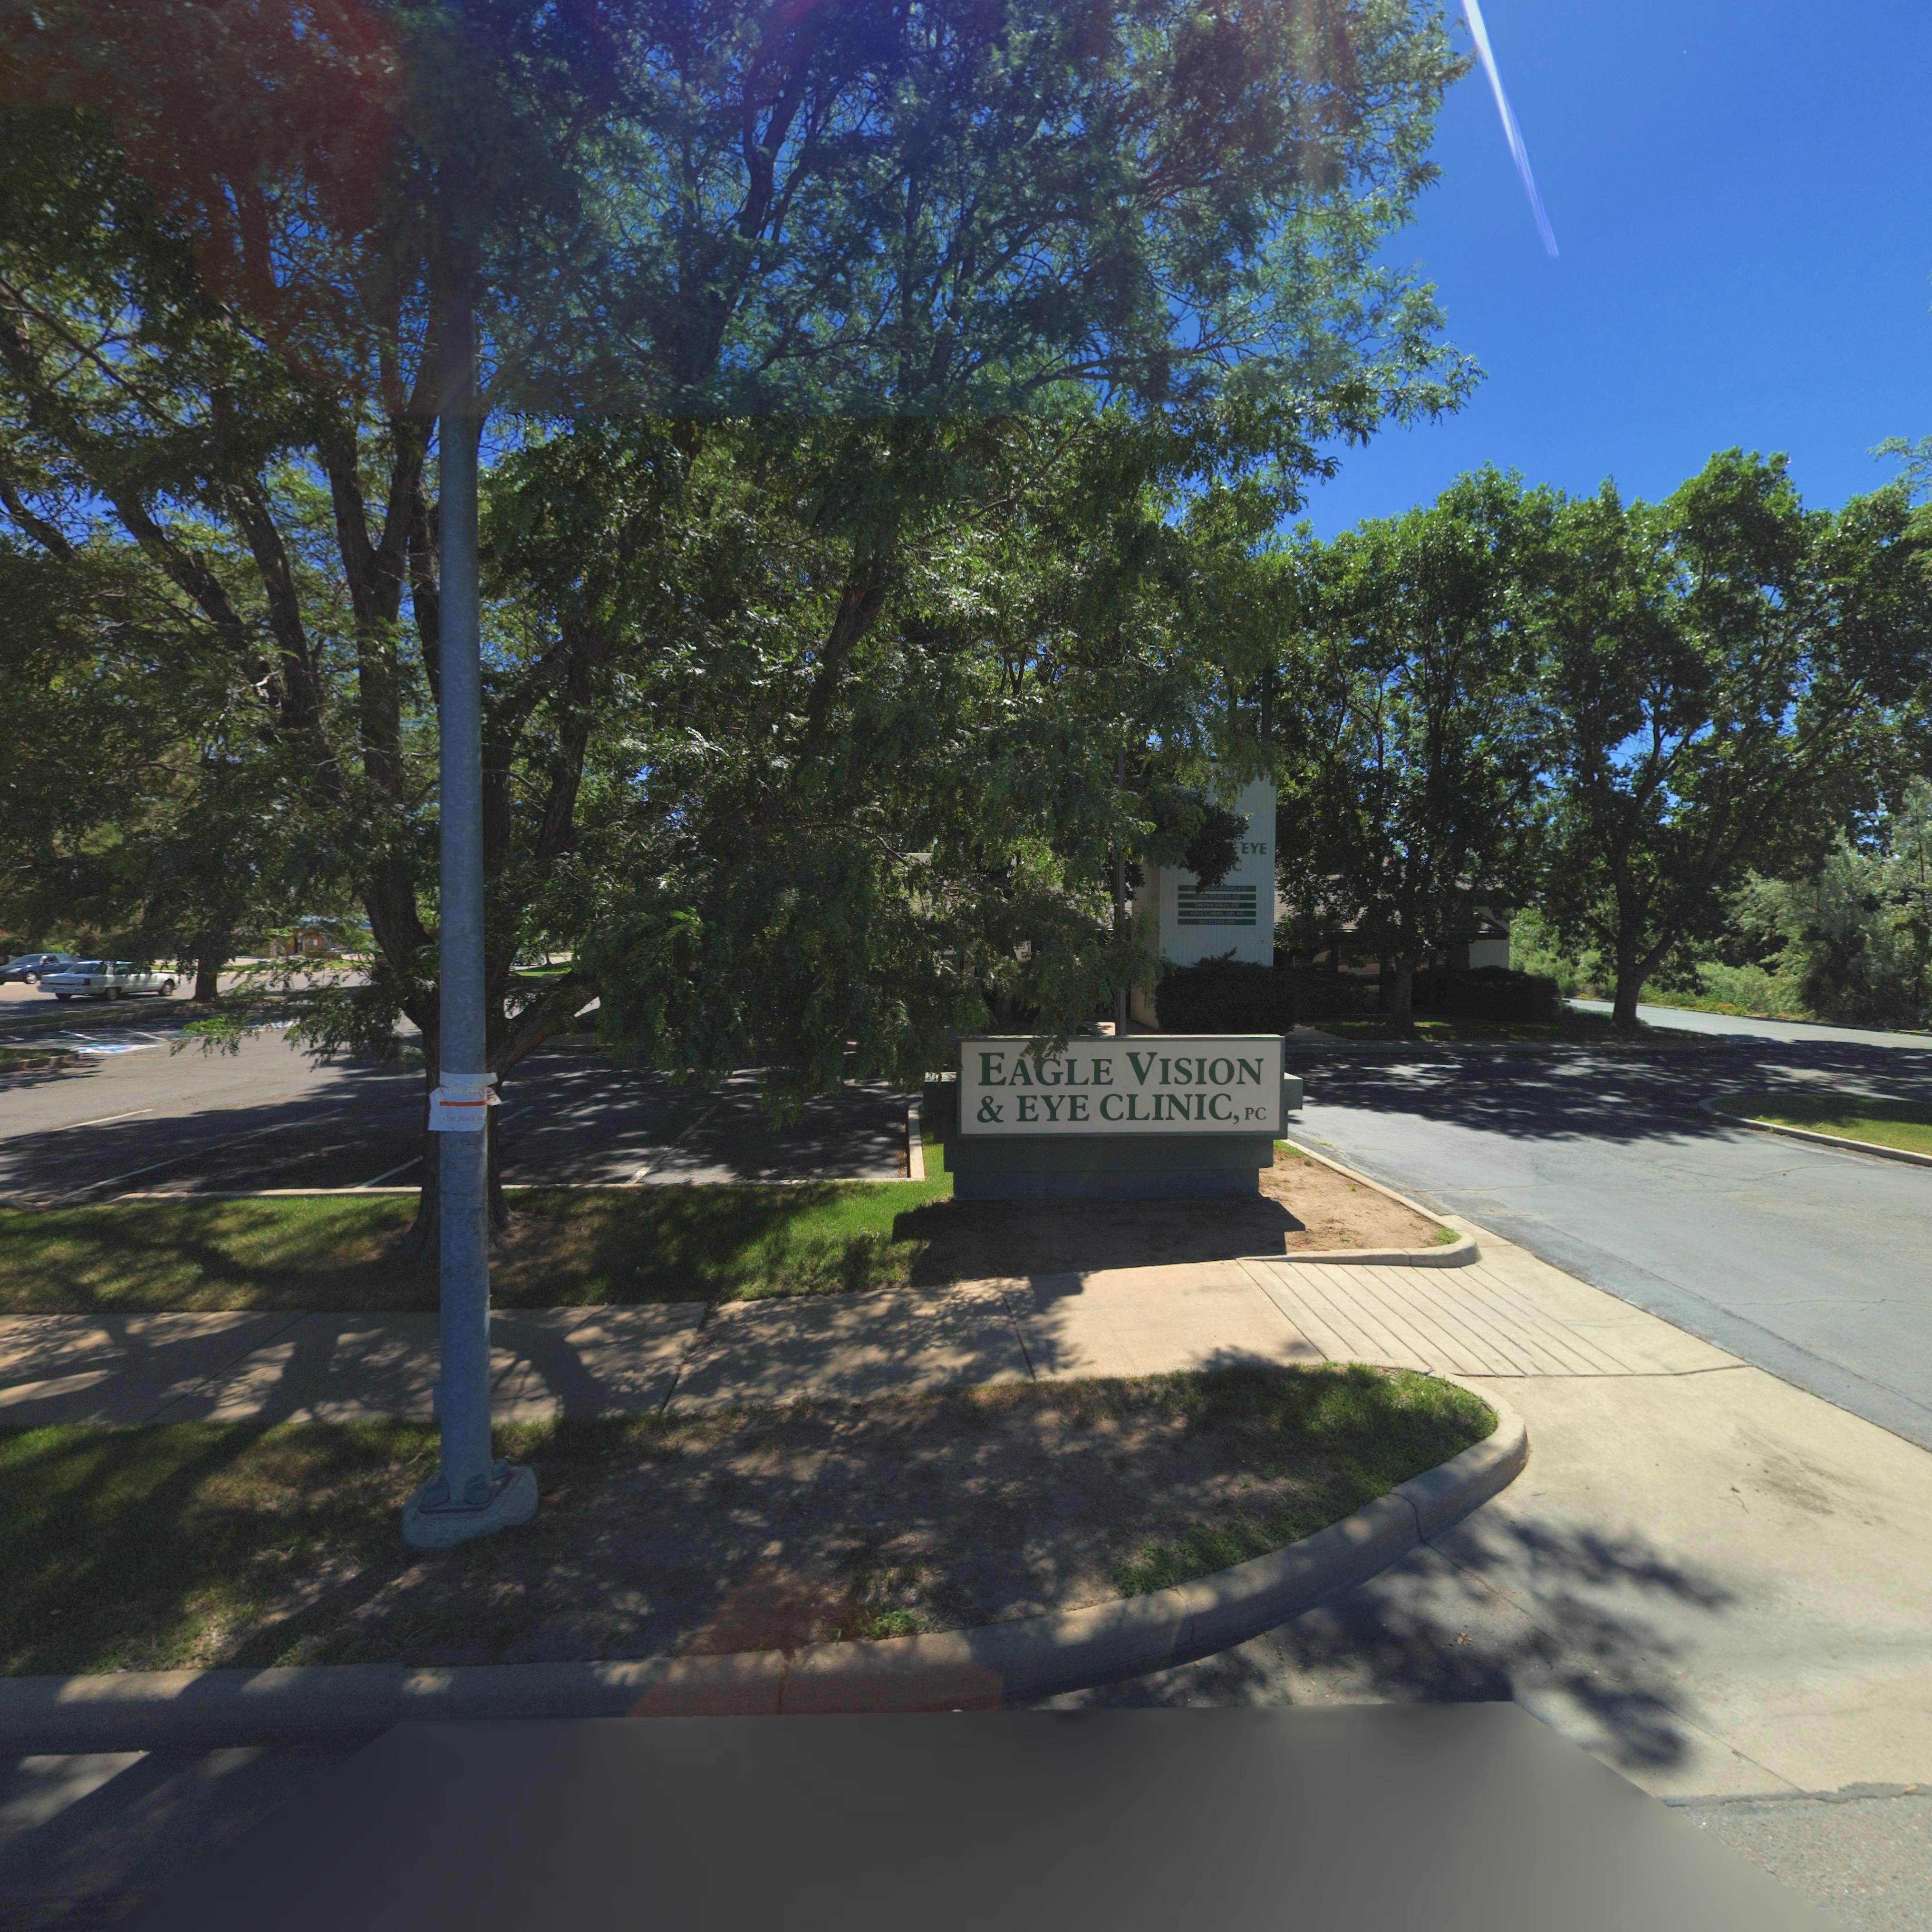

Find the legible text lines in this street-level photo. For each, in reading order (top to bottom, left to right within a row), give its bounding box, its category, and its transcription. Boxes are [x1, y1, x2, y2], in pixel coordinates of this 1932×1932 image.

[978, 1052, 1263, 1085] BusinessName: EAGLE VISION
[977, 1093, 1231, 1122] BusinessName: & EYE CLINIC